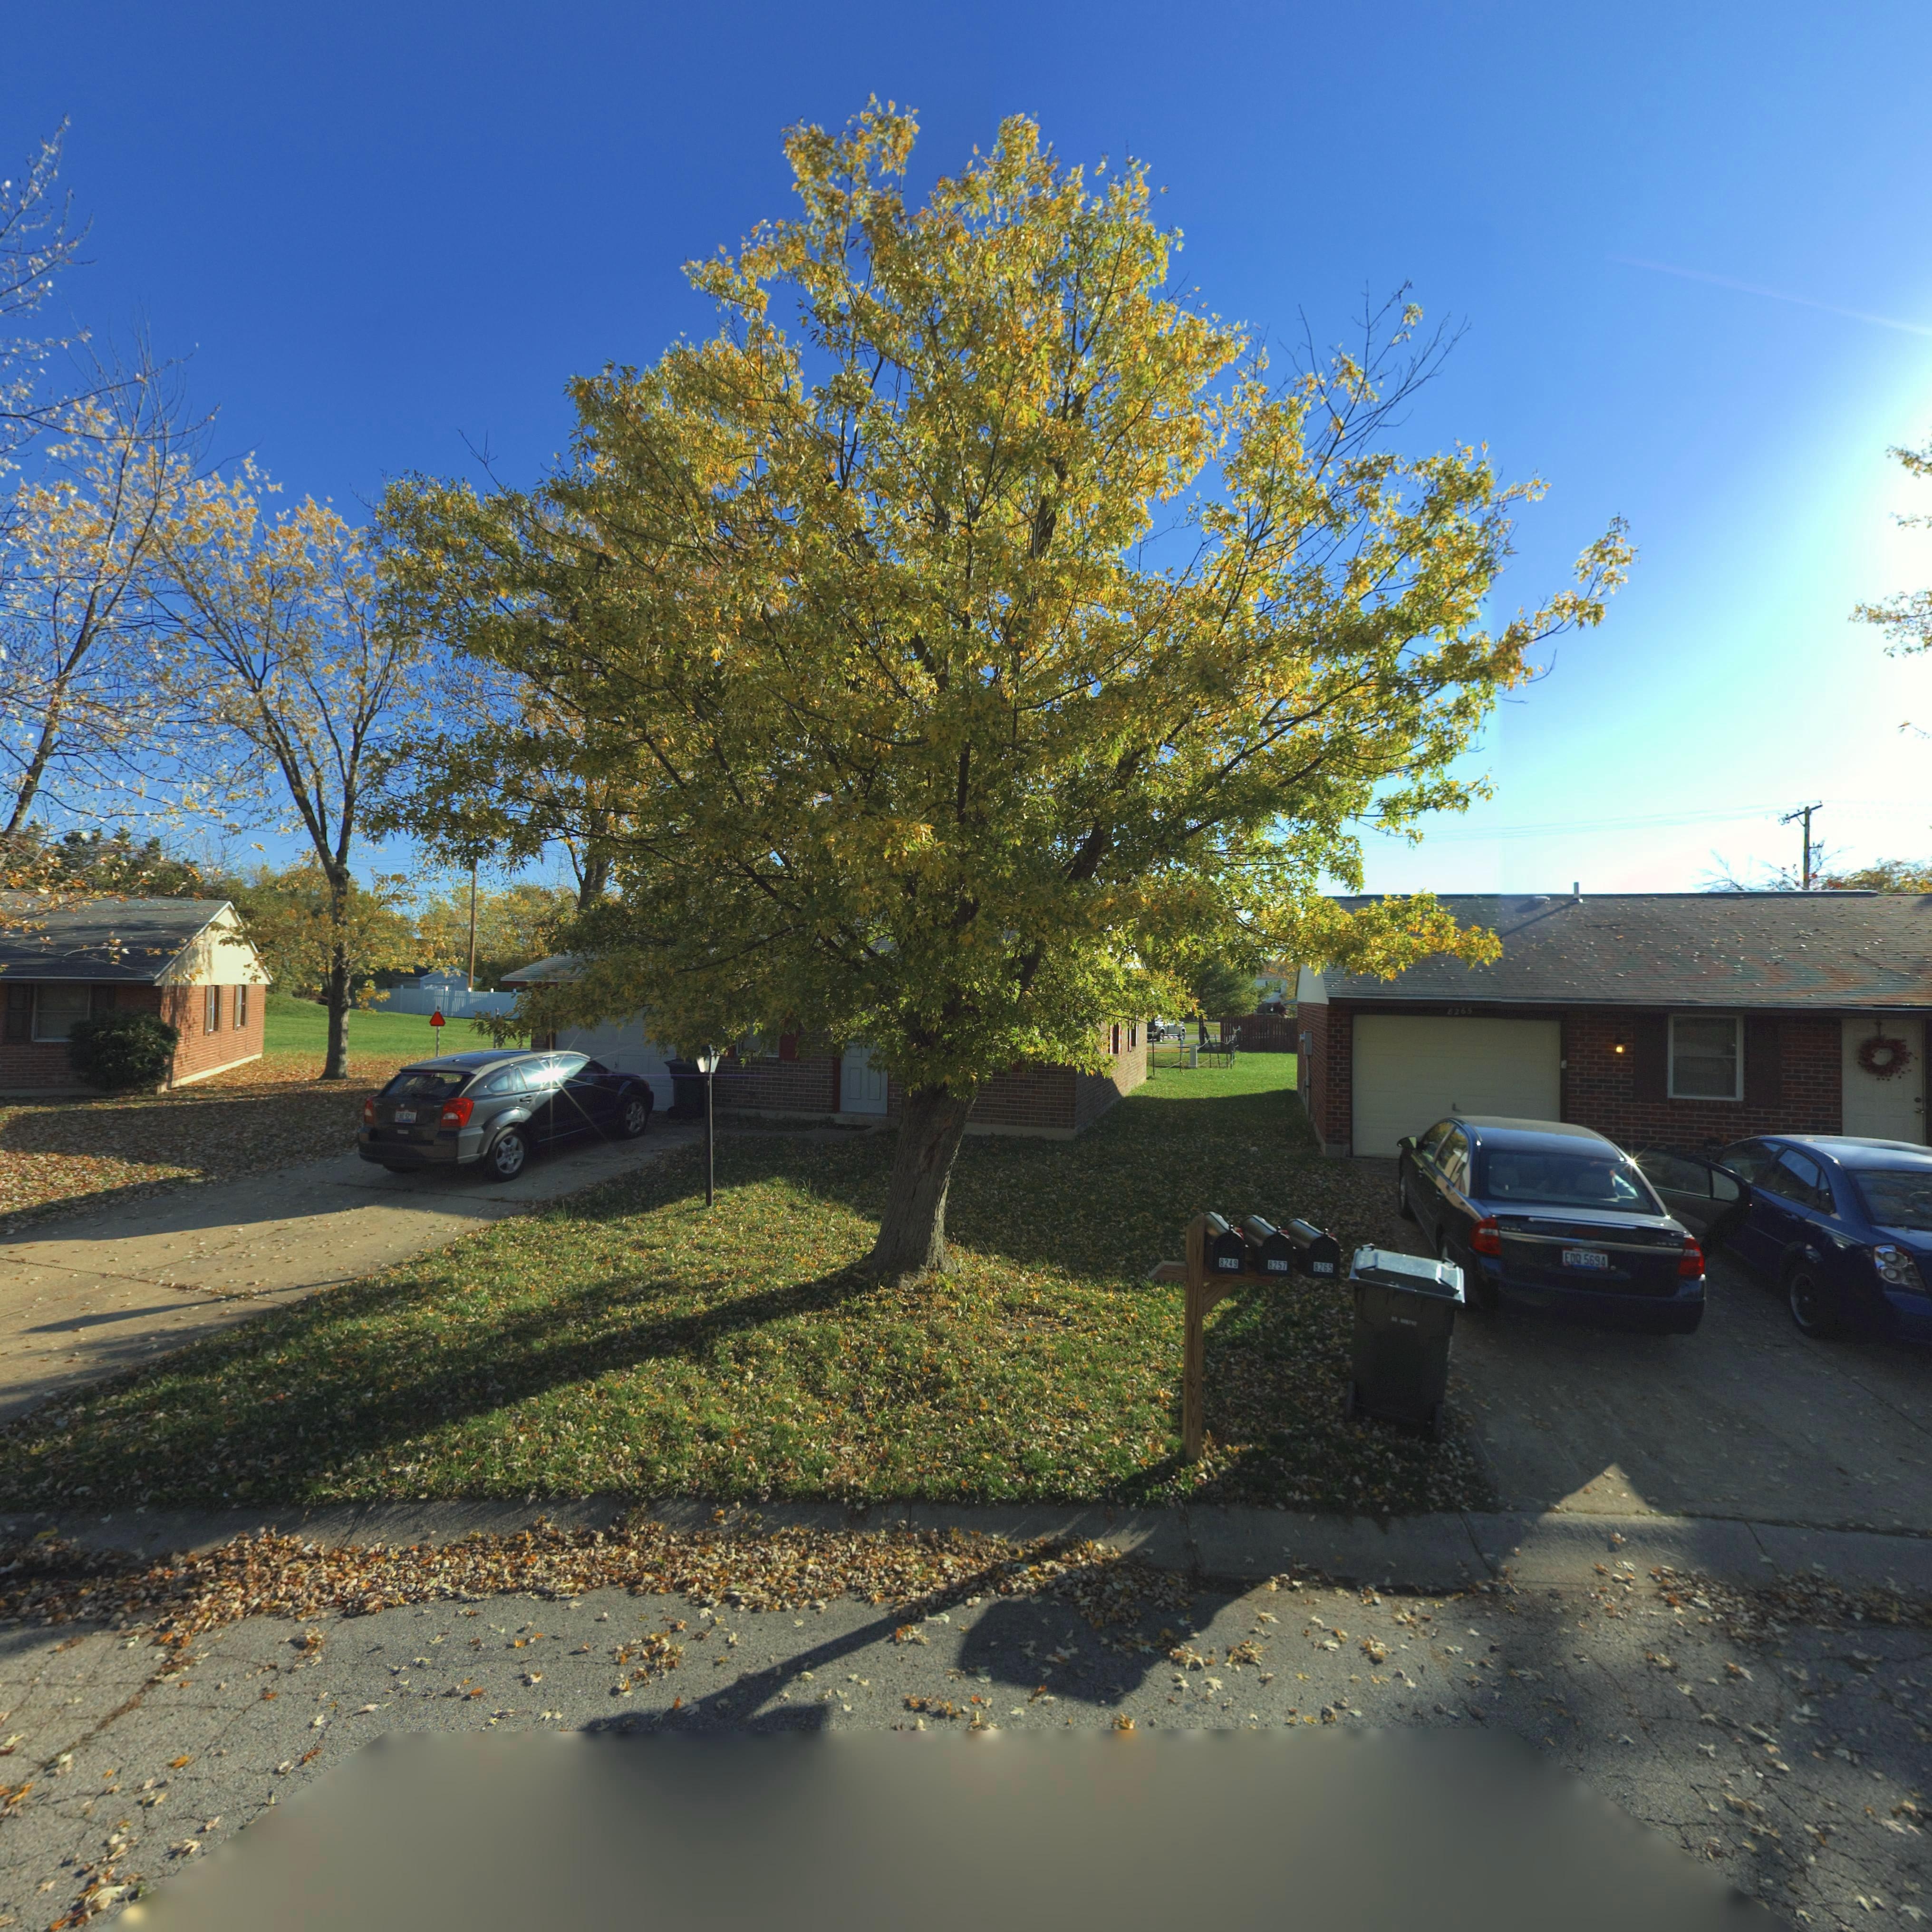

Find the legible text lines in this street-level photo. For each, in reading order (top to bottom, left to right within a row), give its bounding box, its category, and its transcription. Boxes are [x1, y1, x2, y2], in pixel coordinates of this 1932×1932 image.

[1446, 1007, 1472, 1015] StreetNumber: 8263
[1218, 1257, 1238, 1268] StreetNumber: 8249
[1268, 1260, 1287, 1270] StreetNumber: 8257
[1314, 1262, 1333, 1273] StreetNumber: 8265